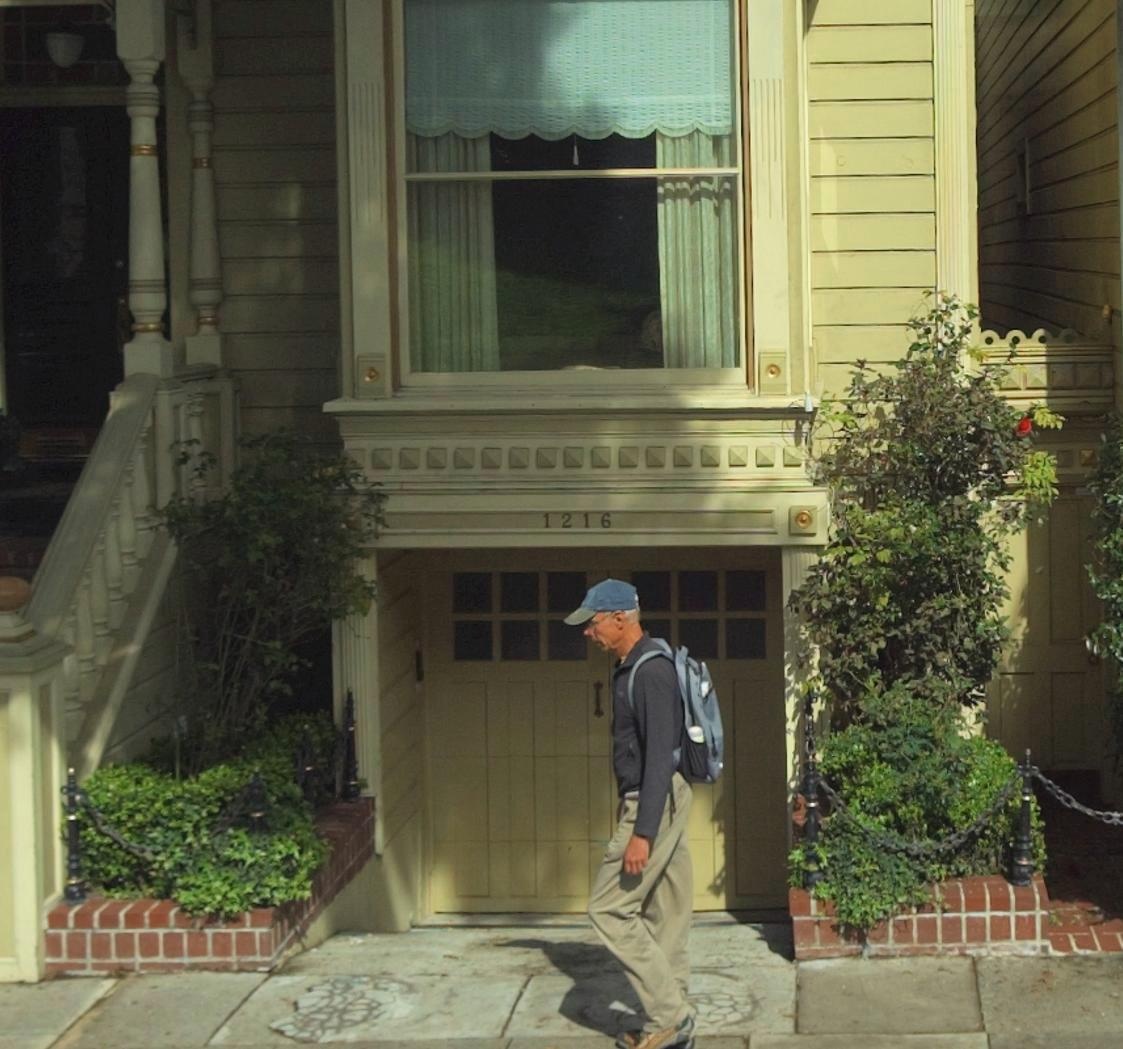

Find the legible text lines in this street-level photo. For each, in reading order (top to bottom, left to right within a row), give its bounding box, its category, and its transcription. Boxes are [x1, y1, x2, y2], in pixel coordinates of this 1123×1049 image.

[541, 510, 613, 530] StreetNumber: 1216